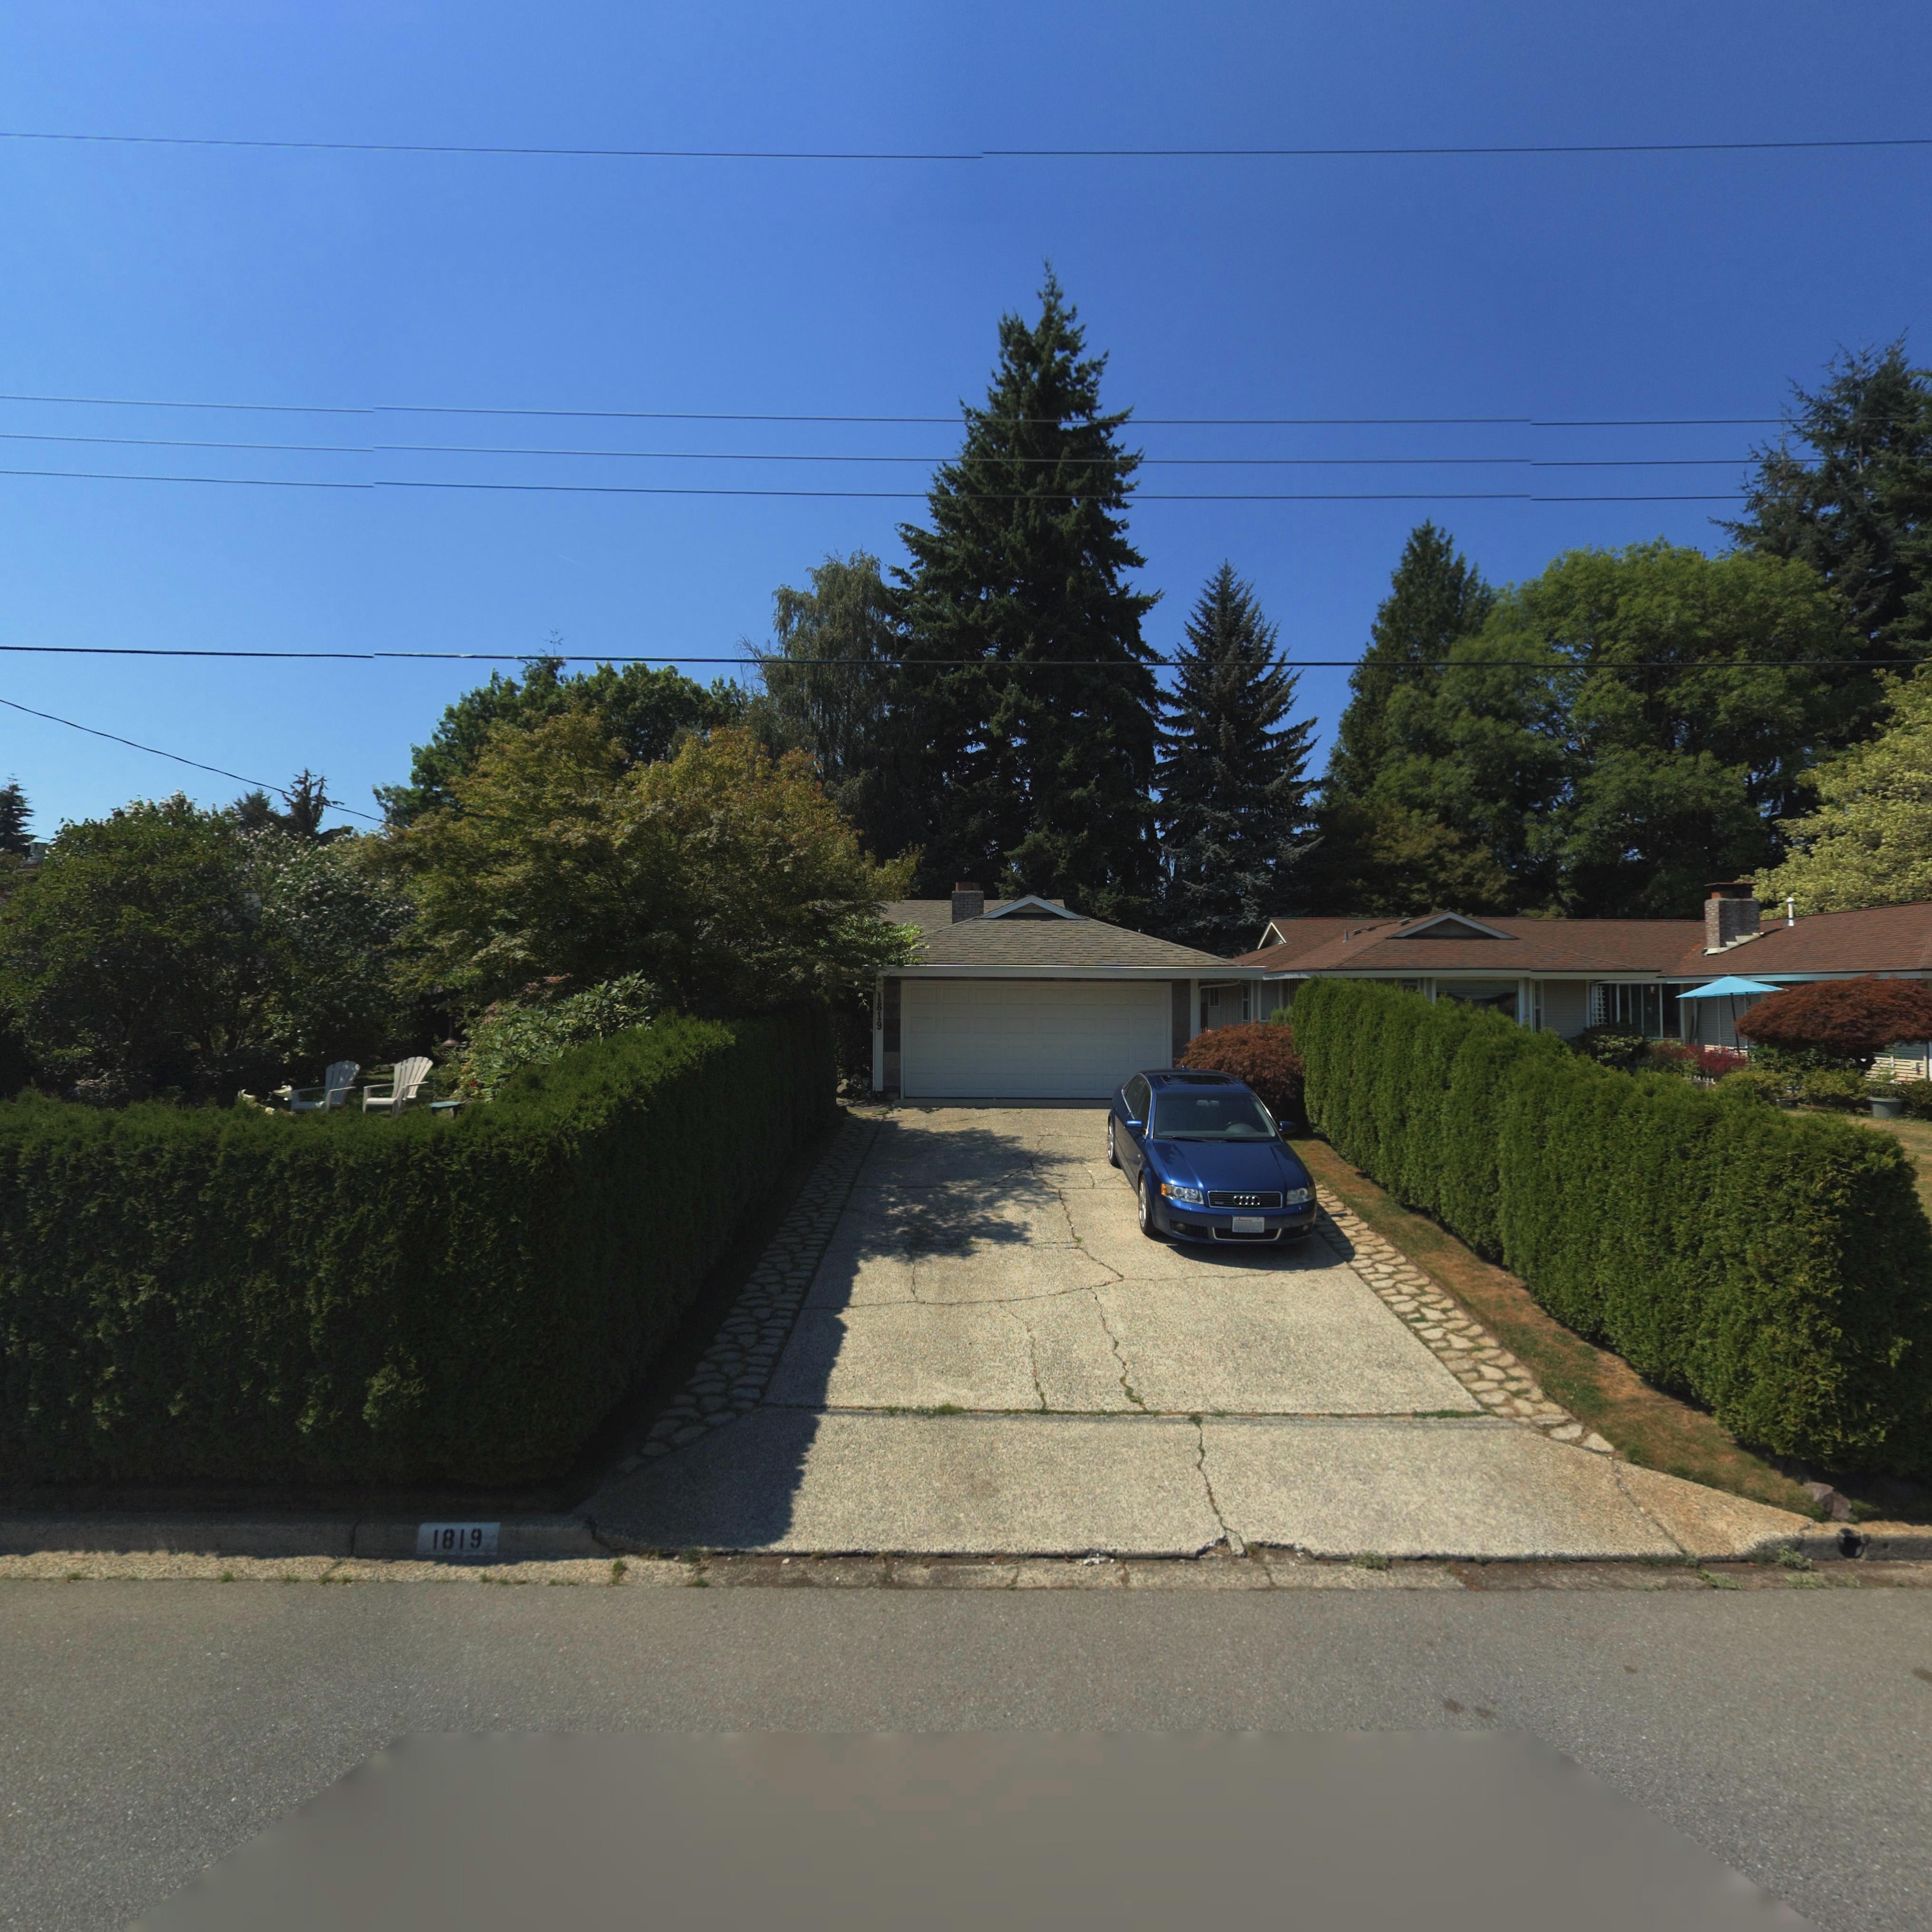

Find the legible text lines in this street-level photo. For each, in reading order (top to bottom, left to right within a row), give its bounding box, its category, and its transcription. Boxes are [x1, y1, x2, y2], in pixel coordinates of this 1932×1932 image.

[431, 1527, 482, 1551] StreetNumber: 1819